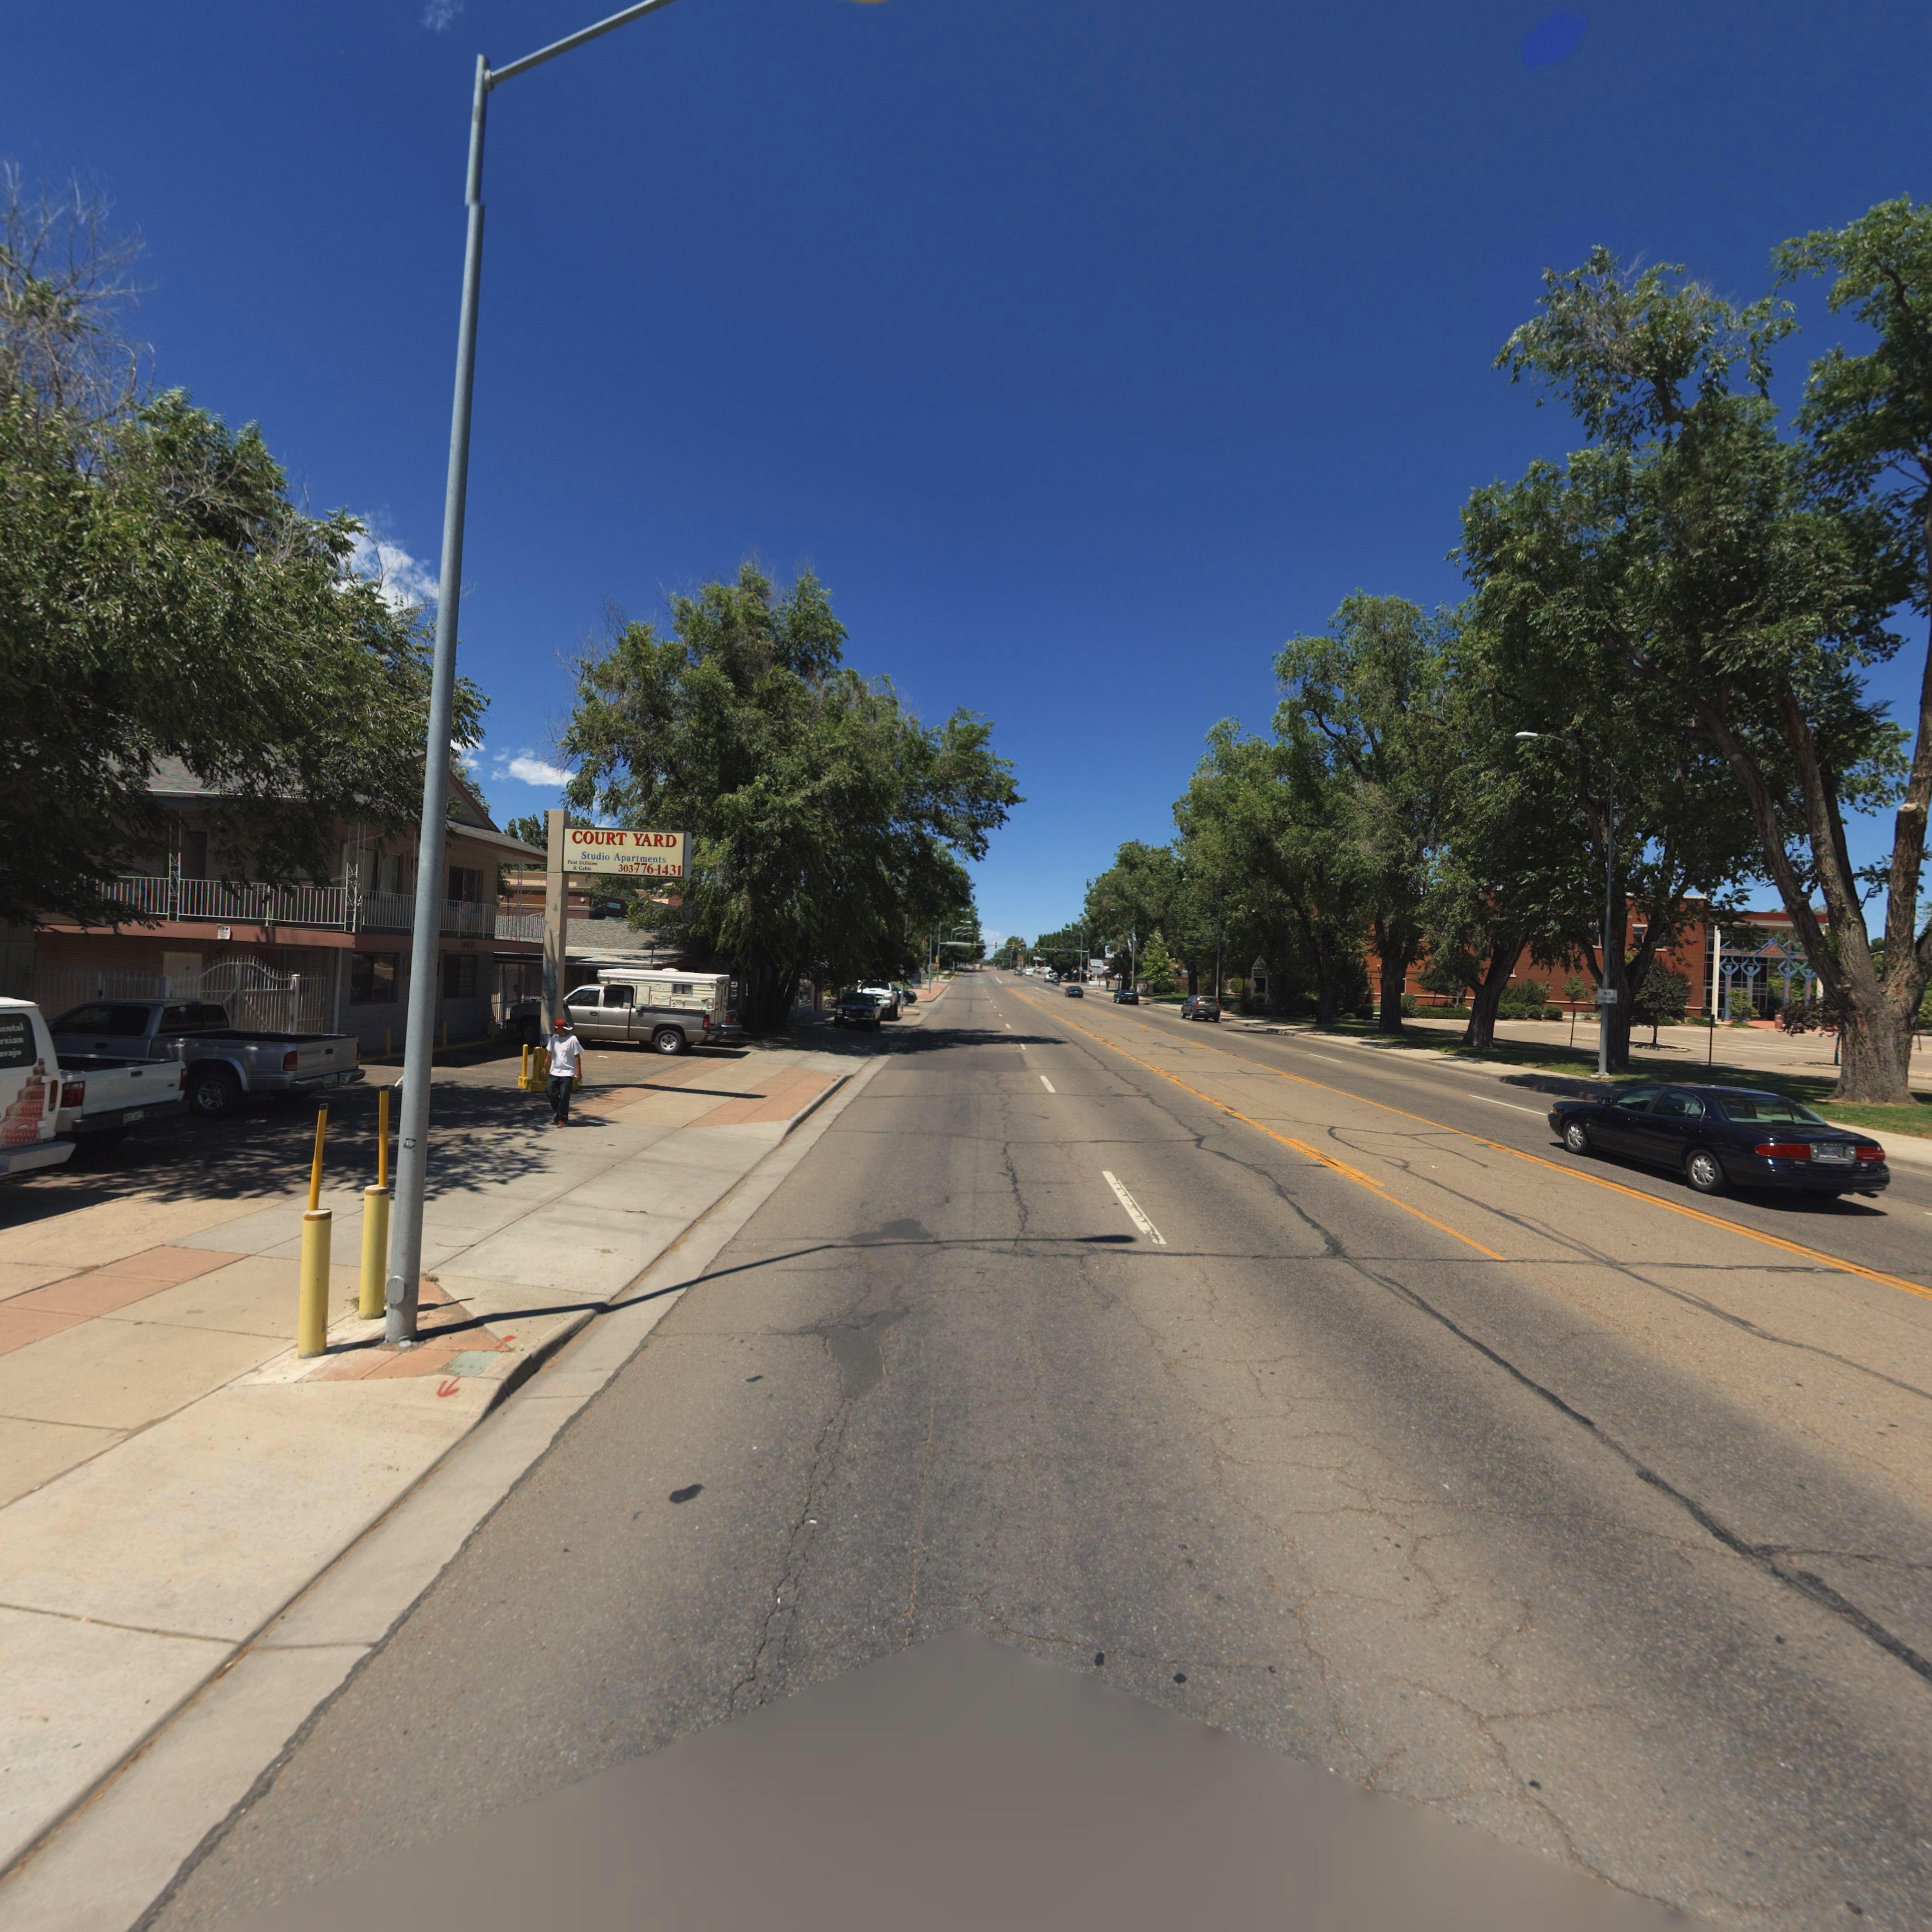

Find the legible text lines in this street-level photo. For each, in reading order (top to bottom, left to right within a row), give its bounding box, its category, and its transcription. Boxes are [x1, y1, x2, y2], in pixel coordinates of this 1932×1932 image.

[571, 830, 676, 847] BusinessName: COURT YARD
[580, 850, 666, 863] BusinessName: Studio Apartments
[461, 940, 473, 948] StreetNumber: 1013